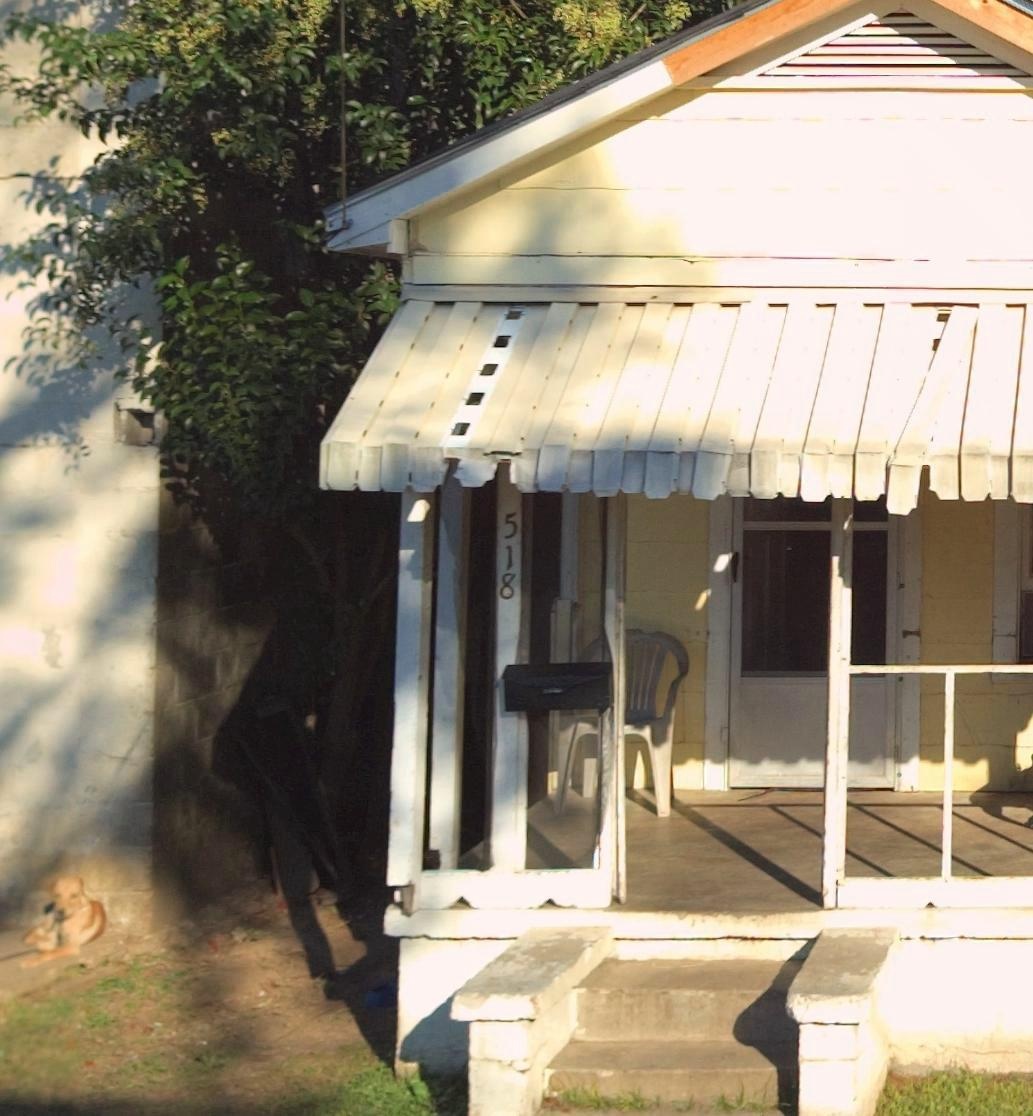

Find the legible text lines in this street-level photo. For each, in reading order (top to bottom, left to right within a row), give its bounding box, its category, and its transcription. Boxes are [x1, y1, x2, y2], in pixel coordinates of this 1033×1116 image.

[497, 508, 520, 604] StreetNumber: 518